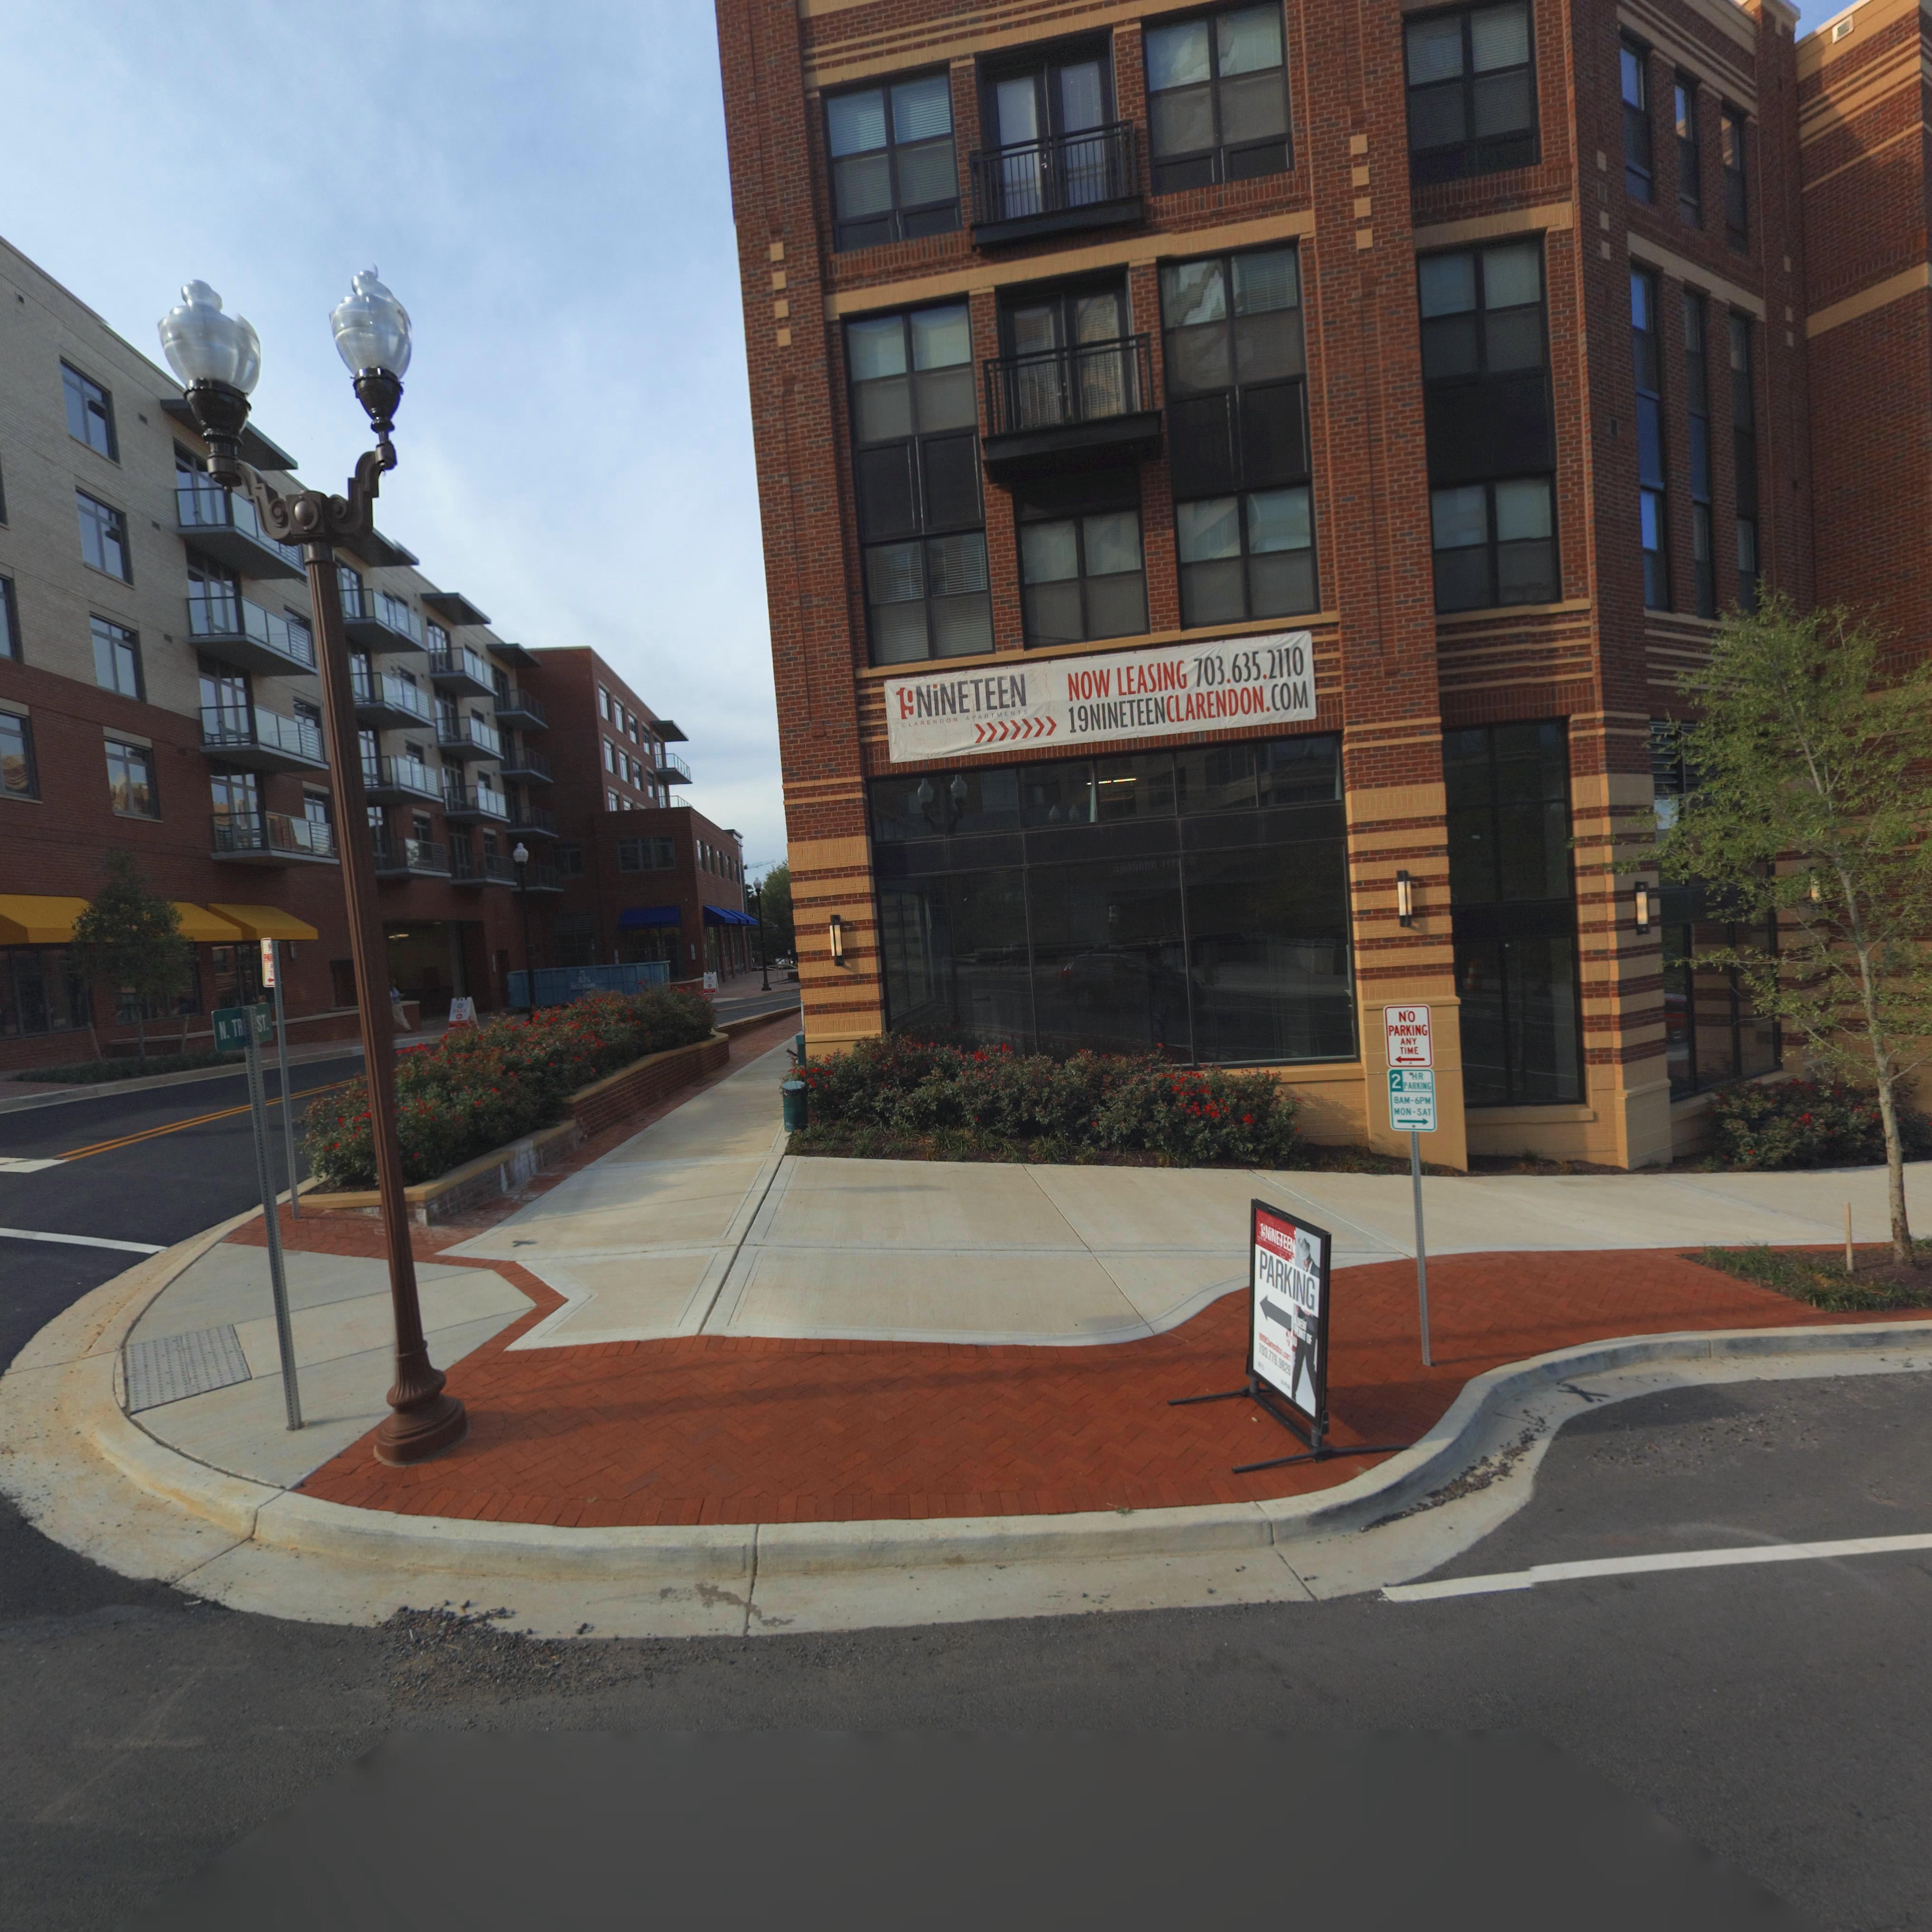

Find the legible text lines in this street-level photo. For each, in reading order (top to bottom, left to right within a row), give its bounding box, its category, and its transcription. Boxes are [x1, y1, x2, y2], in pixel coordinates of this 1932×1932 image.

[1065, 643, 1307, 704] None: NOW LEASING 703.635.2110
[915, 670, 1029, 720] None: NiNETEEN
[1067, 677, 1311, 735] None: 19NINETEENCLARENDON.COM
[900, 707, 1029, 729] None: CLARENDON APARTMENTS
[216, 1015, 246, 1043] None: N. TR
[255, 1012, 270, 1035] None: ST.
[1397, 1009, 1418, 1024] None: NO
[1387, 1023, 1429, 1037] None: PARKING
[1398, 1036, 1419, 1046] None: ANY
[1398, 1045, 1420, 1055] None: TIME
[1390, 1072, 1403, 1090] None: 2
[1402, 1081, 1433, 1091] None: PARKING
[1410, 1071, 1425, 1082] None: HR
[1393, 1094, 1432, 1106] None: 8AM-6PM
[1393, 1106, 1433, 1117] None: MON-SAT
[1264, 1223, 1296, 1257] None: NiNETEEN
[1258, 1247, 1317, 1314] None: PARKING
[1257, 1341, 1293, 1377] None: 703.776.9826